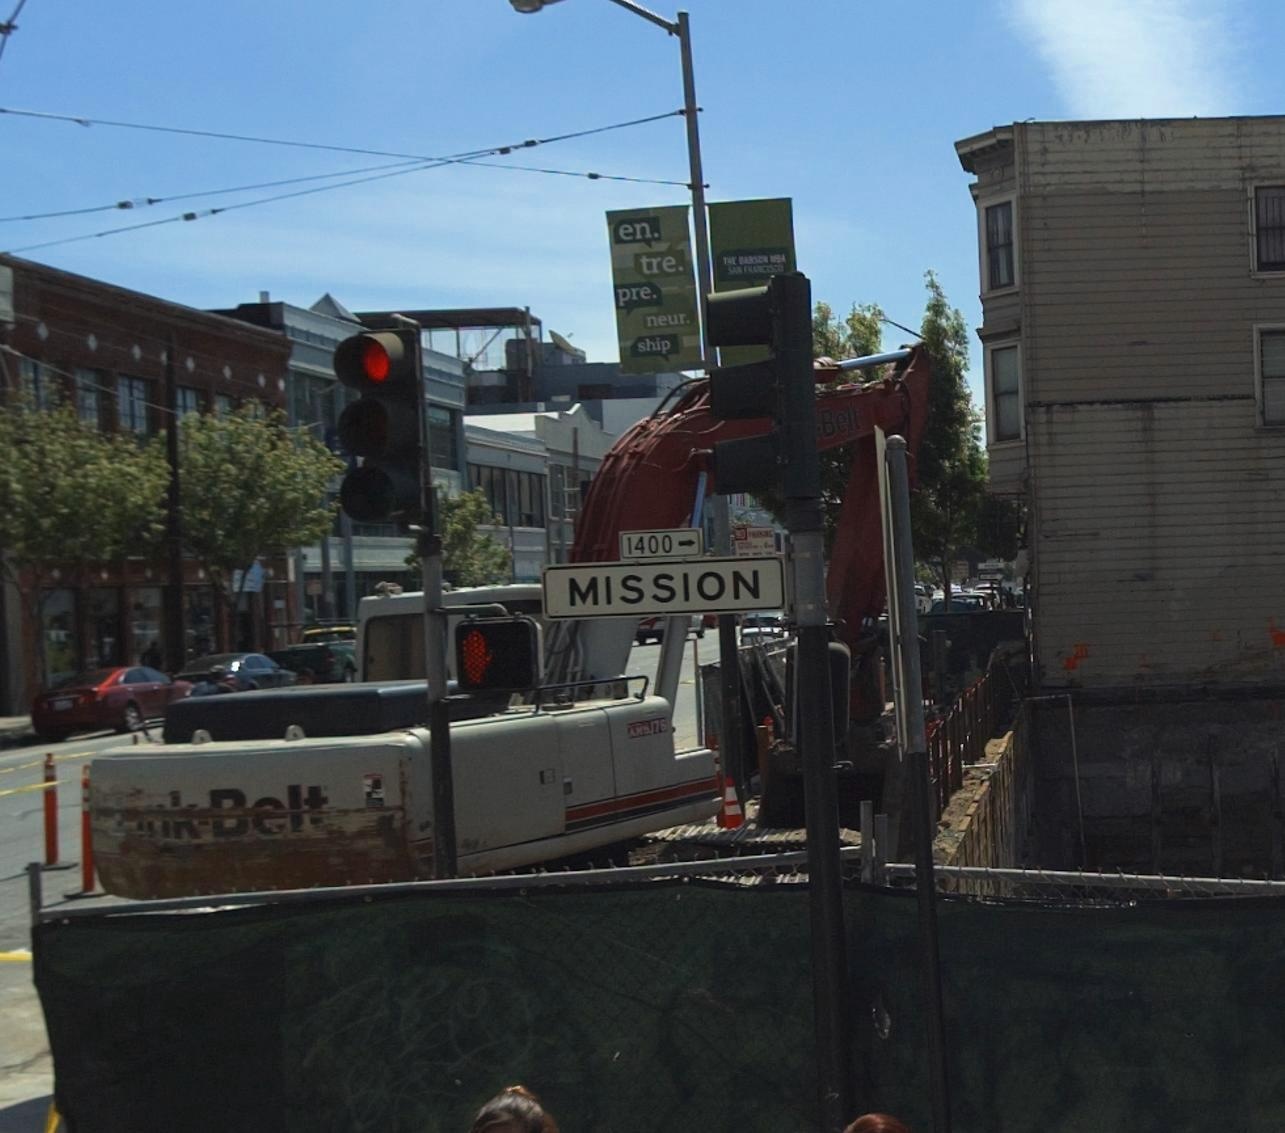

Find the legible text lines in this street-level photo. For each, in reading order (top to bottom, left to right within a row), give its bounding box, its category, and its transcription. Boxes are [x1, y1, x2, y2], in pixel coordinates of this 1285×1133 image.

[617, 220, 661, 241] None: en.
[637, 253, 684, 275] None: tre.
[615, 285, 660, 308] None: pre.
[644, 311, 692, 328] None: neur.
[635, 335, 673, 355] None: ship
[818, 398, 866, 442] None: Belt
[625, 535, 697, 555] StreetNumberRange: 1400->
[566, 568, 762, 607] StreetName: MISSION
[132, 770, 332, 844] None: ** Belt